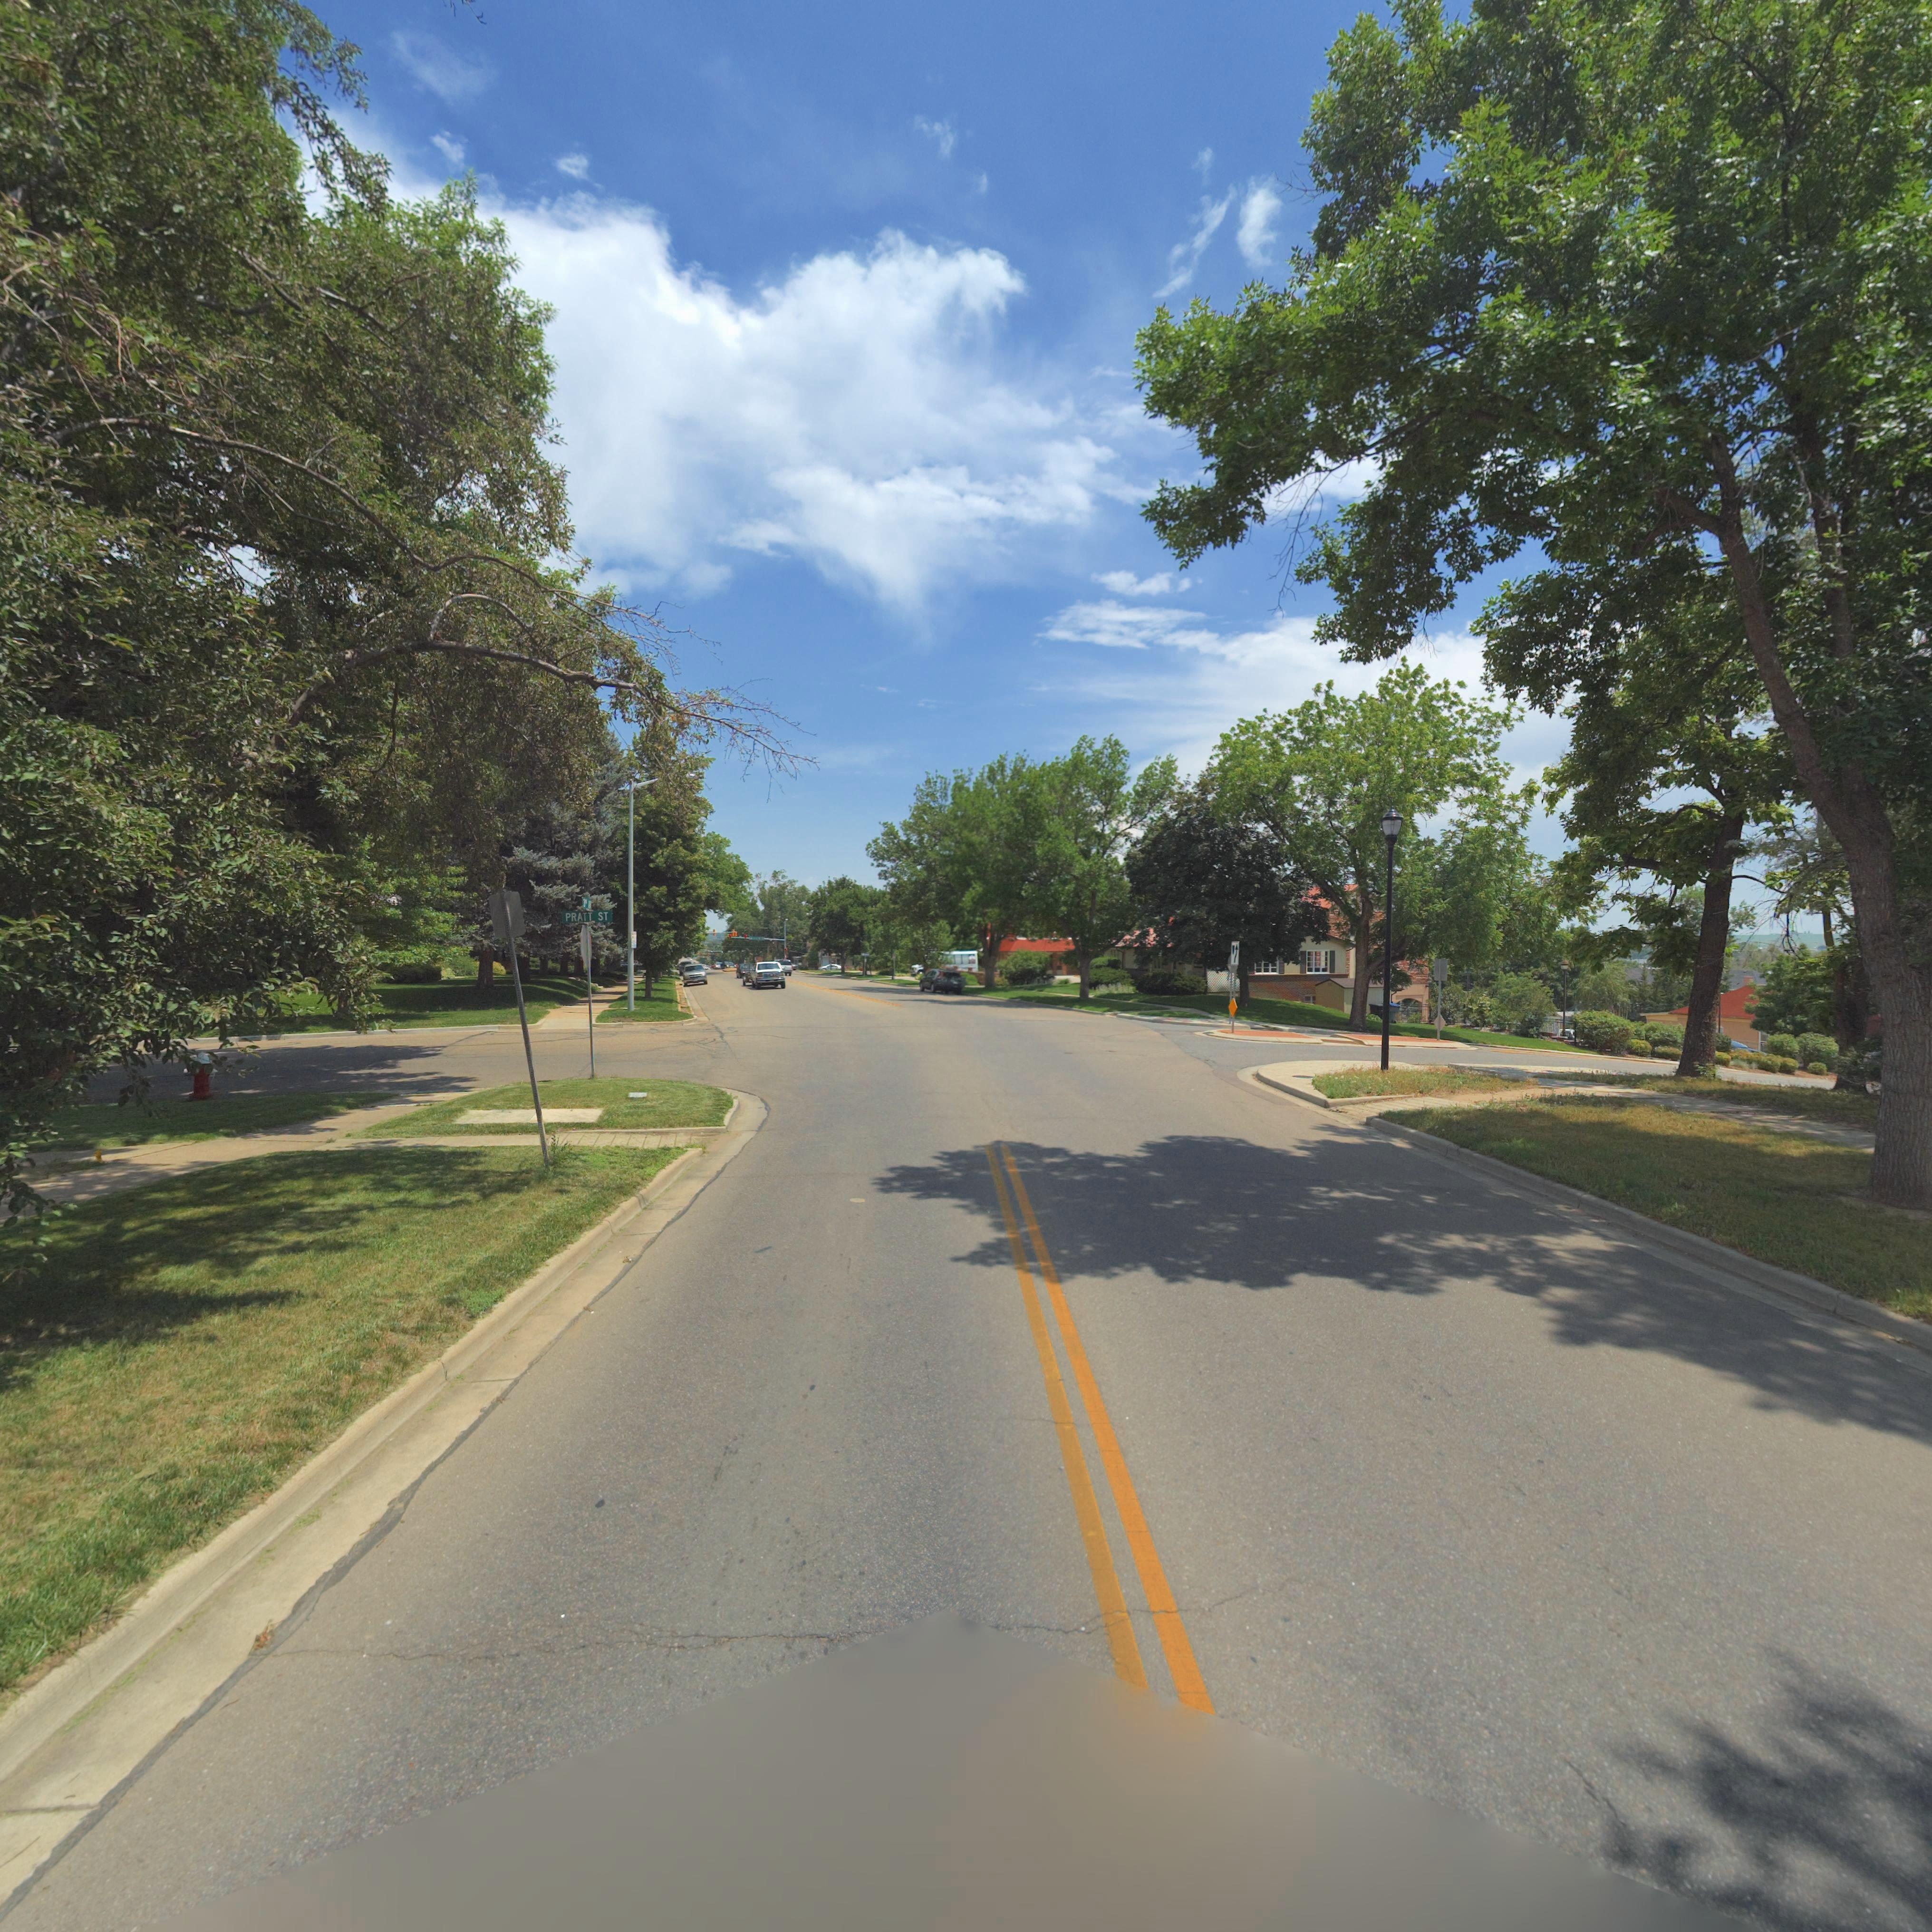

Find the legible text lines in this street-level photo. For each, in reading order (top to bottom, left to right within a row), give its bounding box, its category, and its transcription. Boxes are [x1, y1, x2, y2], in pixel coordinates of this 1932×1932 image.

[583, 898, 591, 908] StreetName: 3 ** **
[565, 912, 608, 921] StreetName: PRATT ST